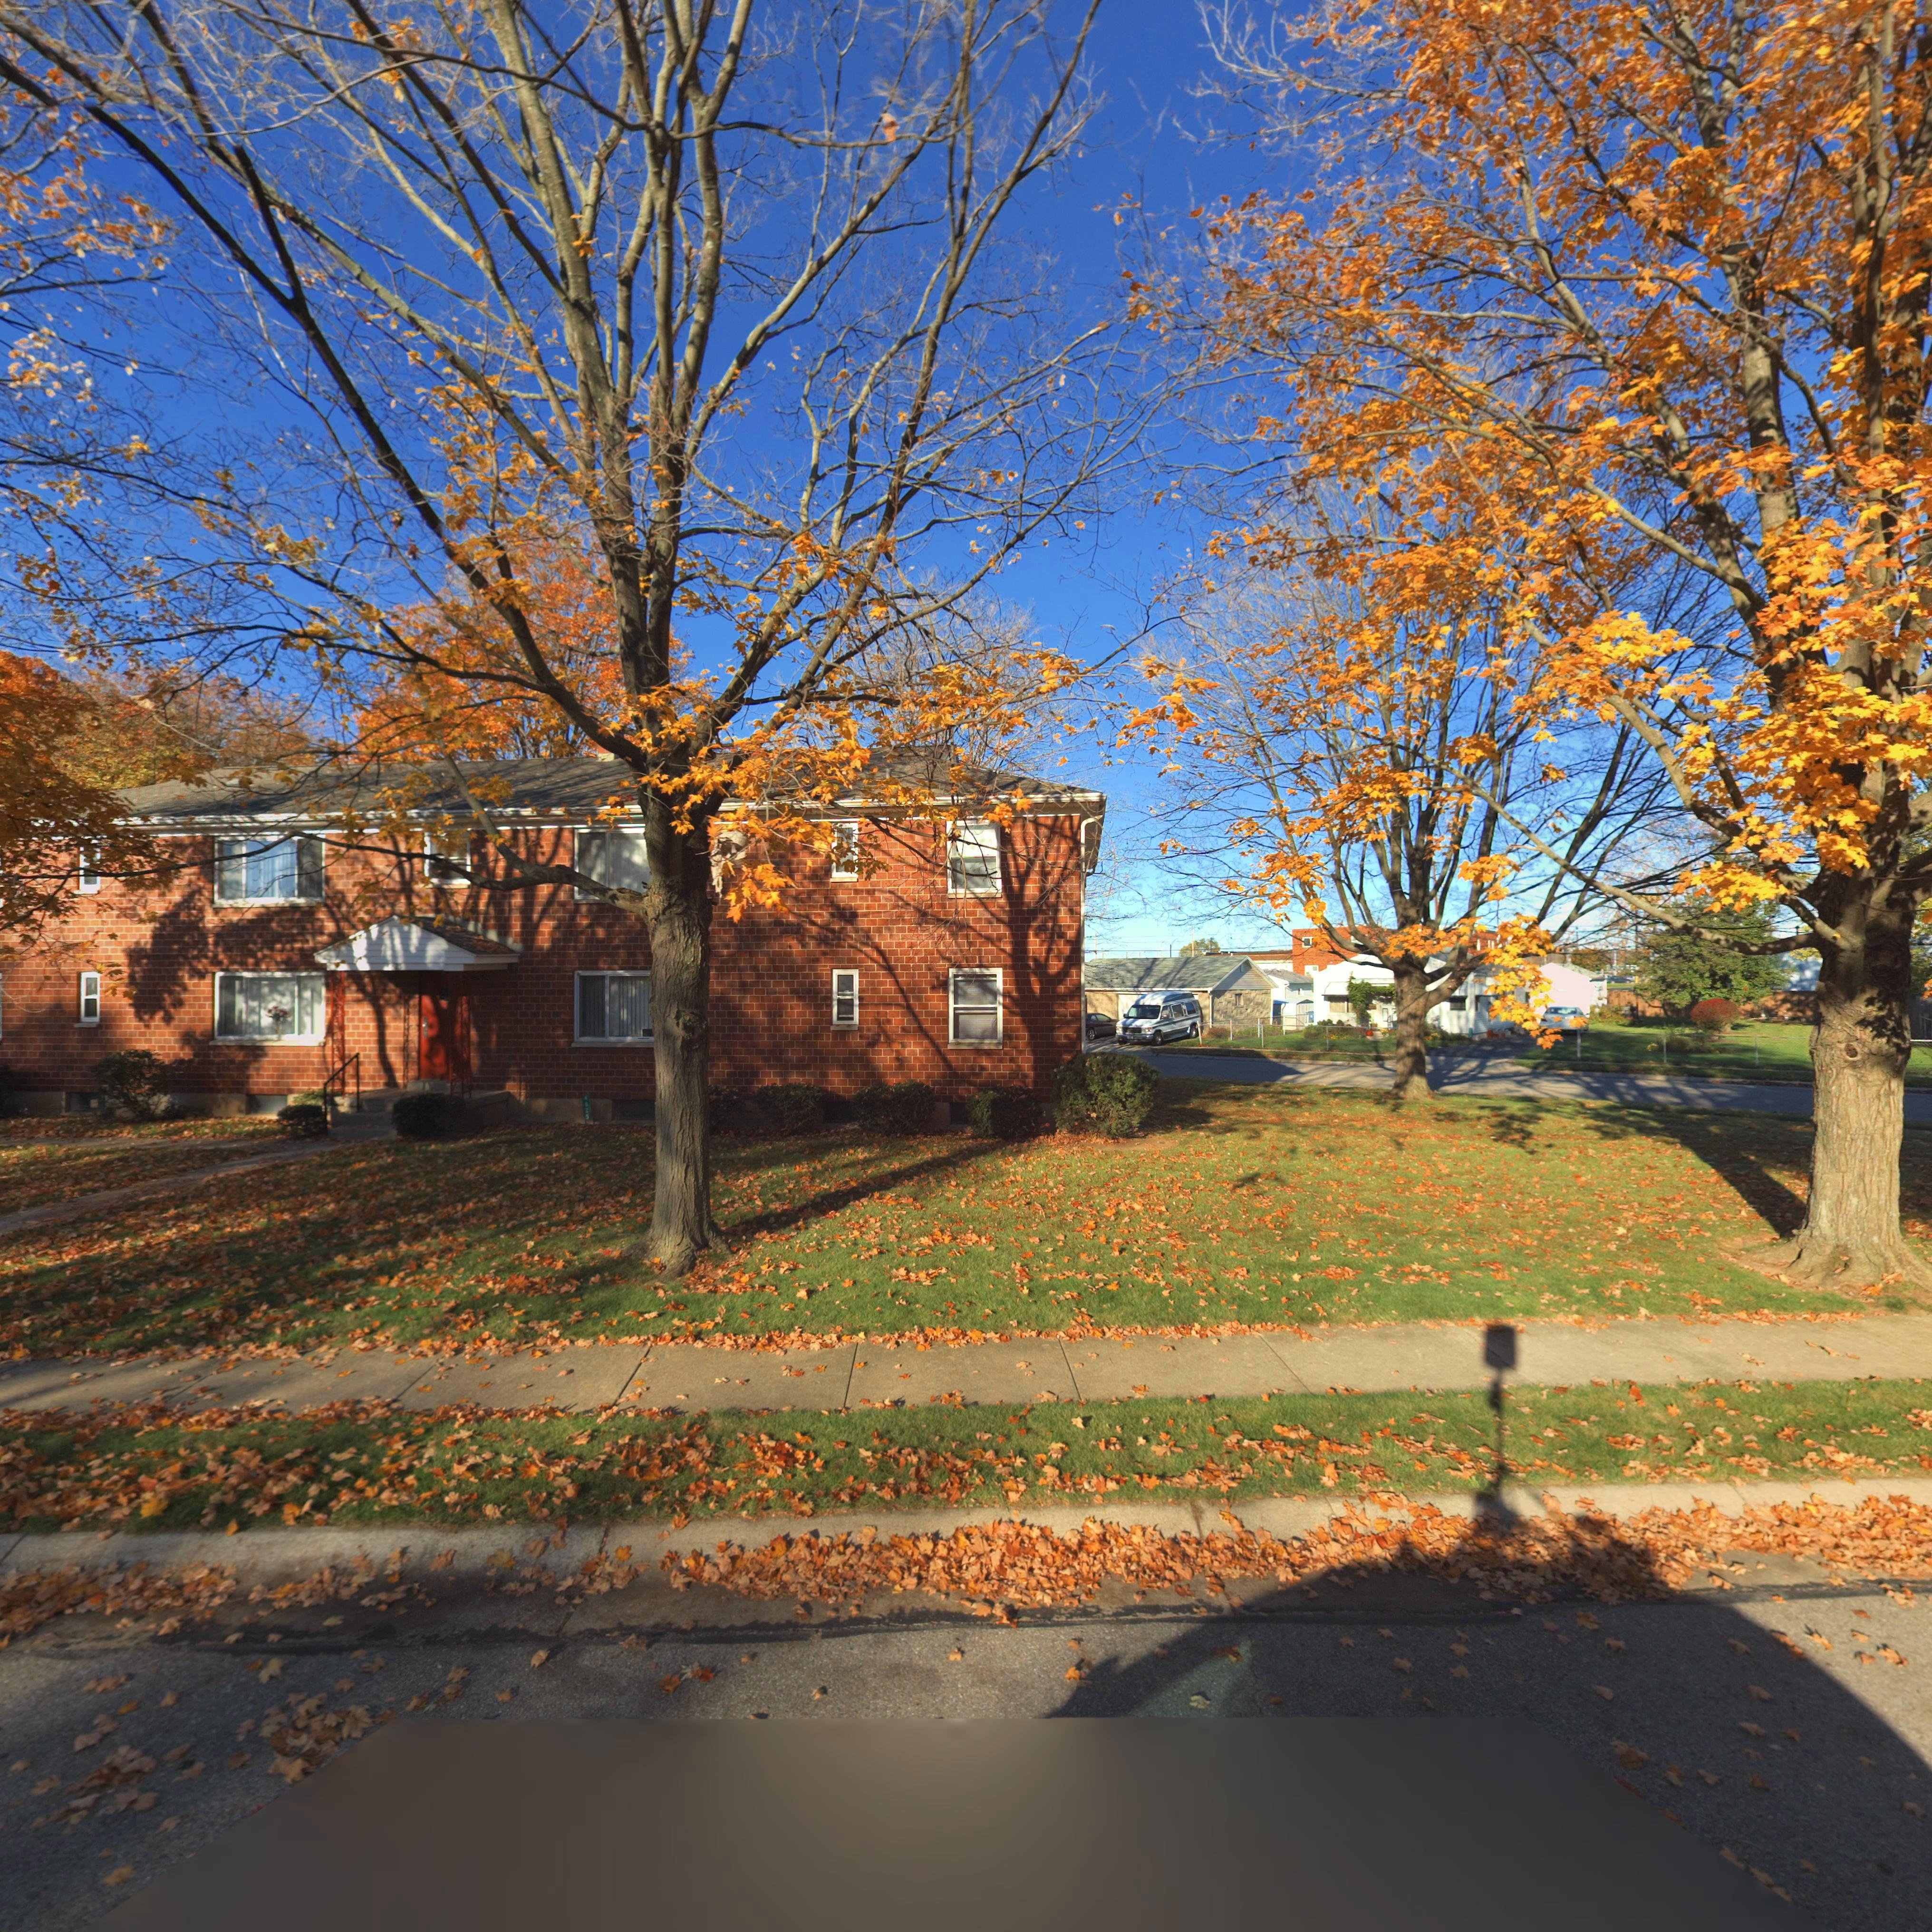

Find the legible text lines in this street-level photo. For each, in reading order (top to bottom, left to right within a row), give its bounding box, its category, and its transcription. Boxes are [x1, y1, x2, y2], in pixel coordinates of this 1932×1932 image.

[583, 1093, 590, 1121] StreetNumber: ***5